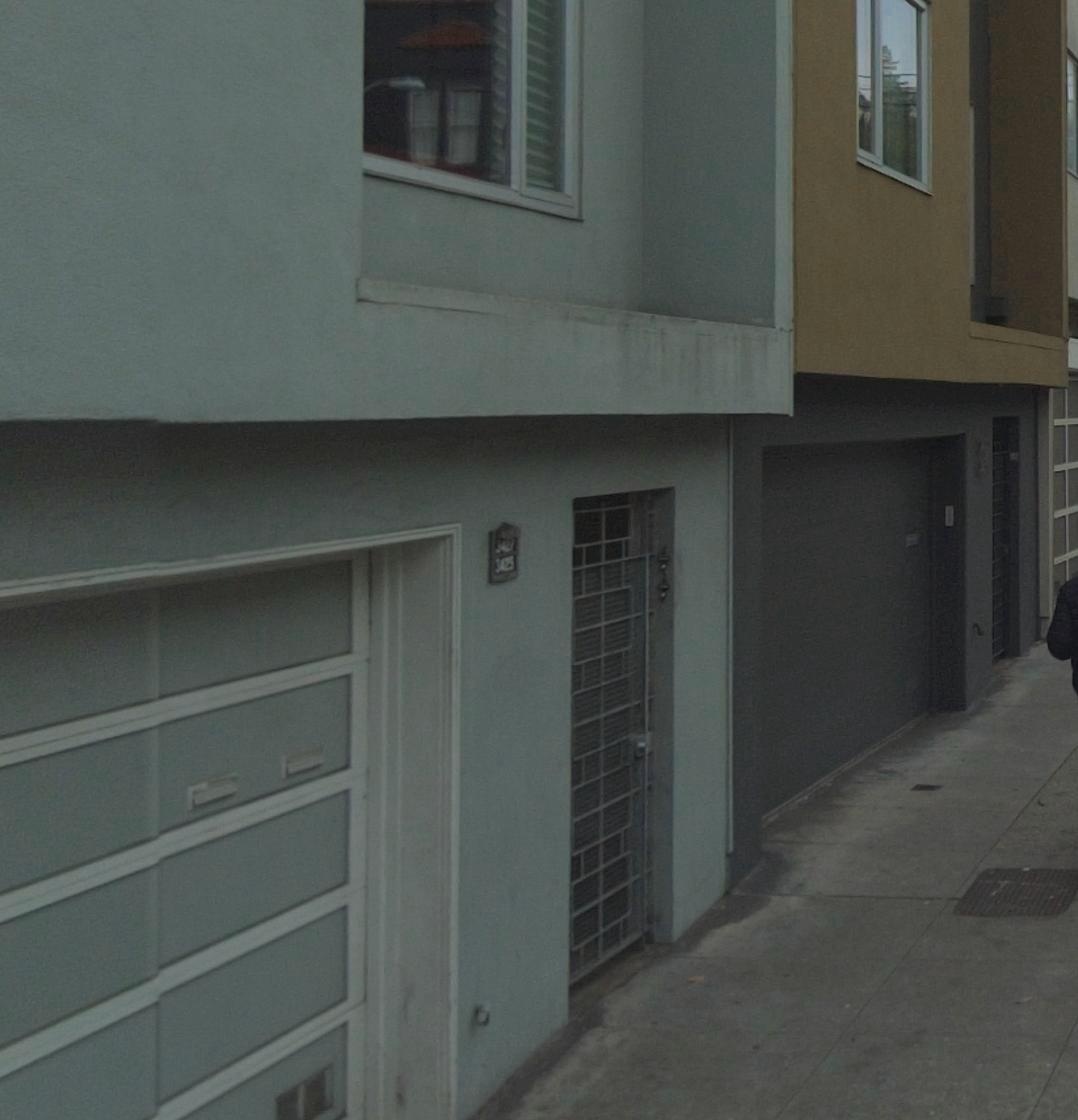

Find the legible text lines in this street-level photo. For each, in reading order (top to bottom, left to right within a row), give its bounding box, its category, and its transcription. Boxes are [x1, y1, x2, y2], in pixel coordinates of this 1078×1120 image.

[494, 538, 516, 555] StreetNumber: 3427
[494, 554, 516, 575] StreetNumber: 3425